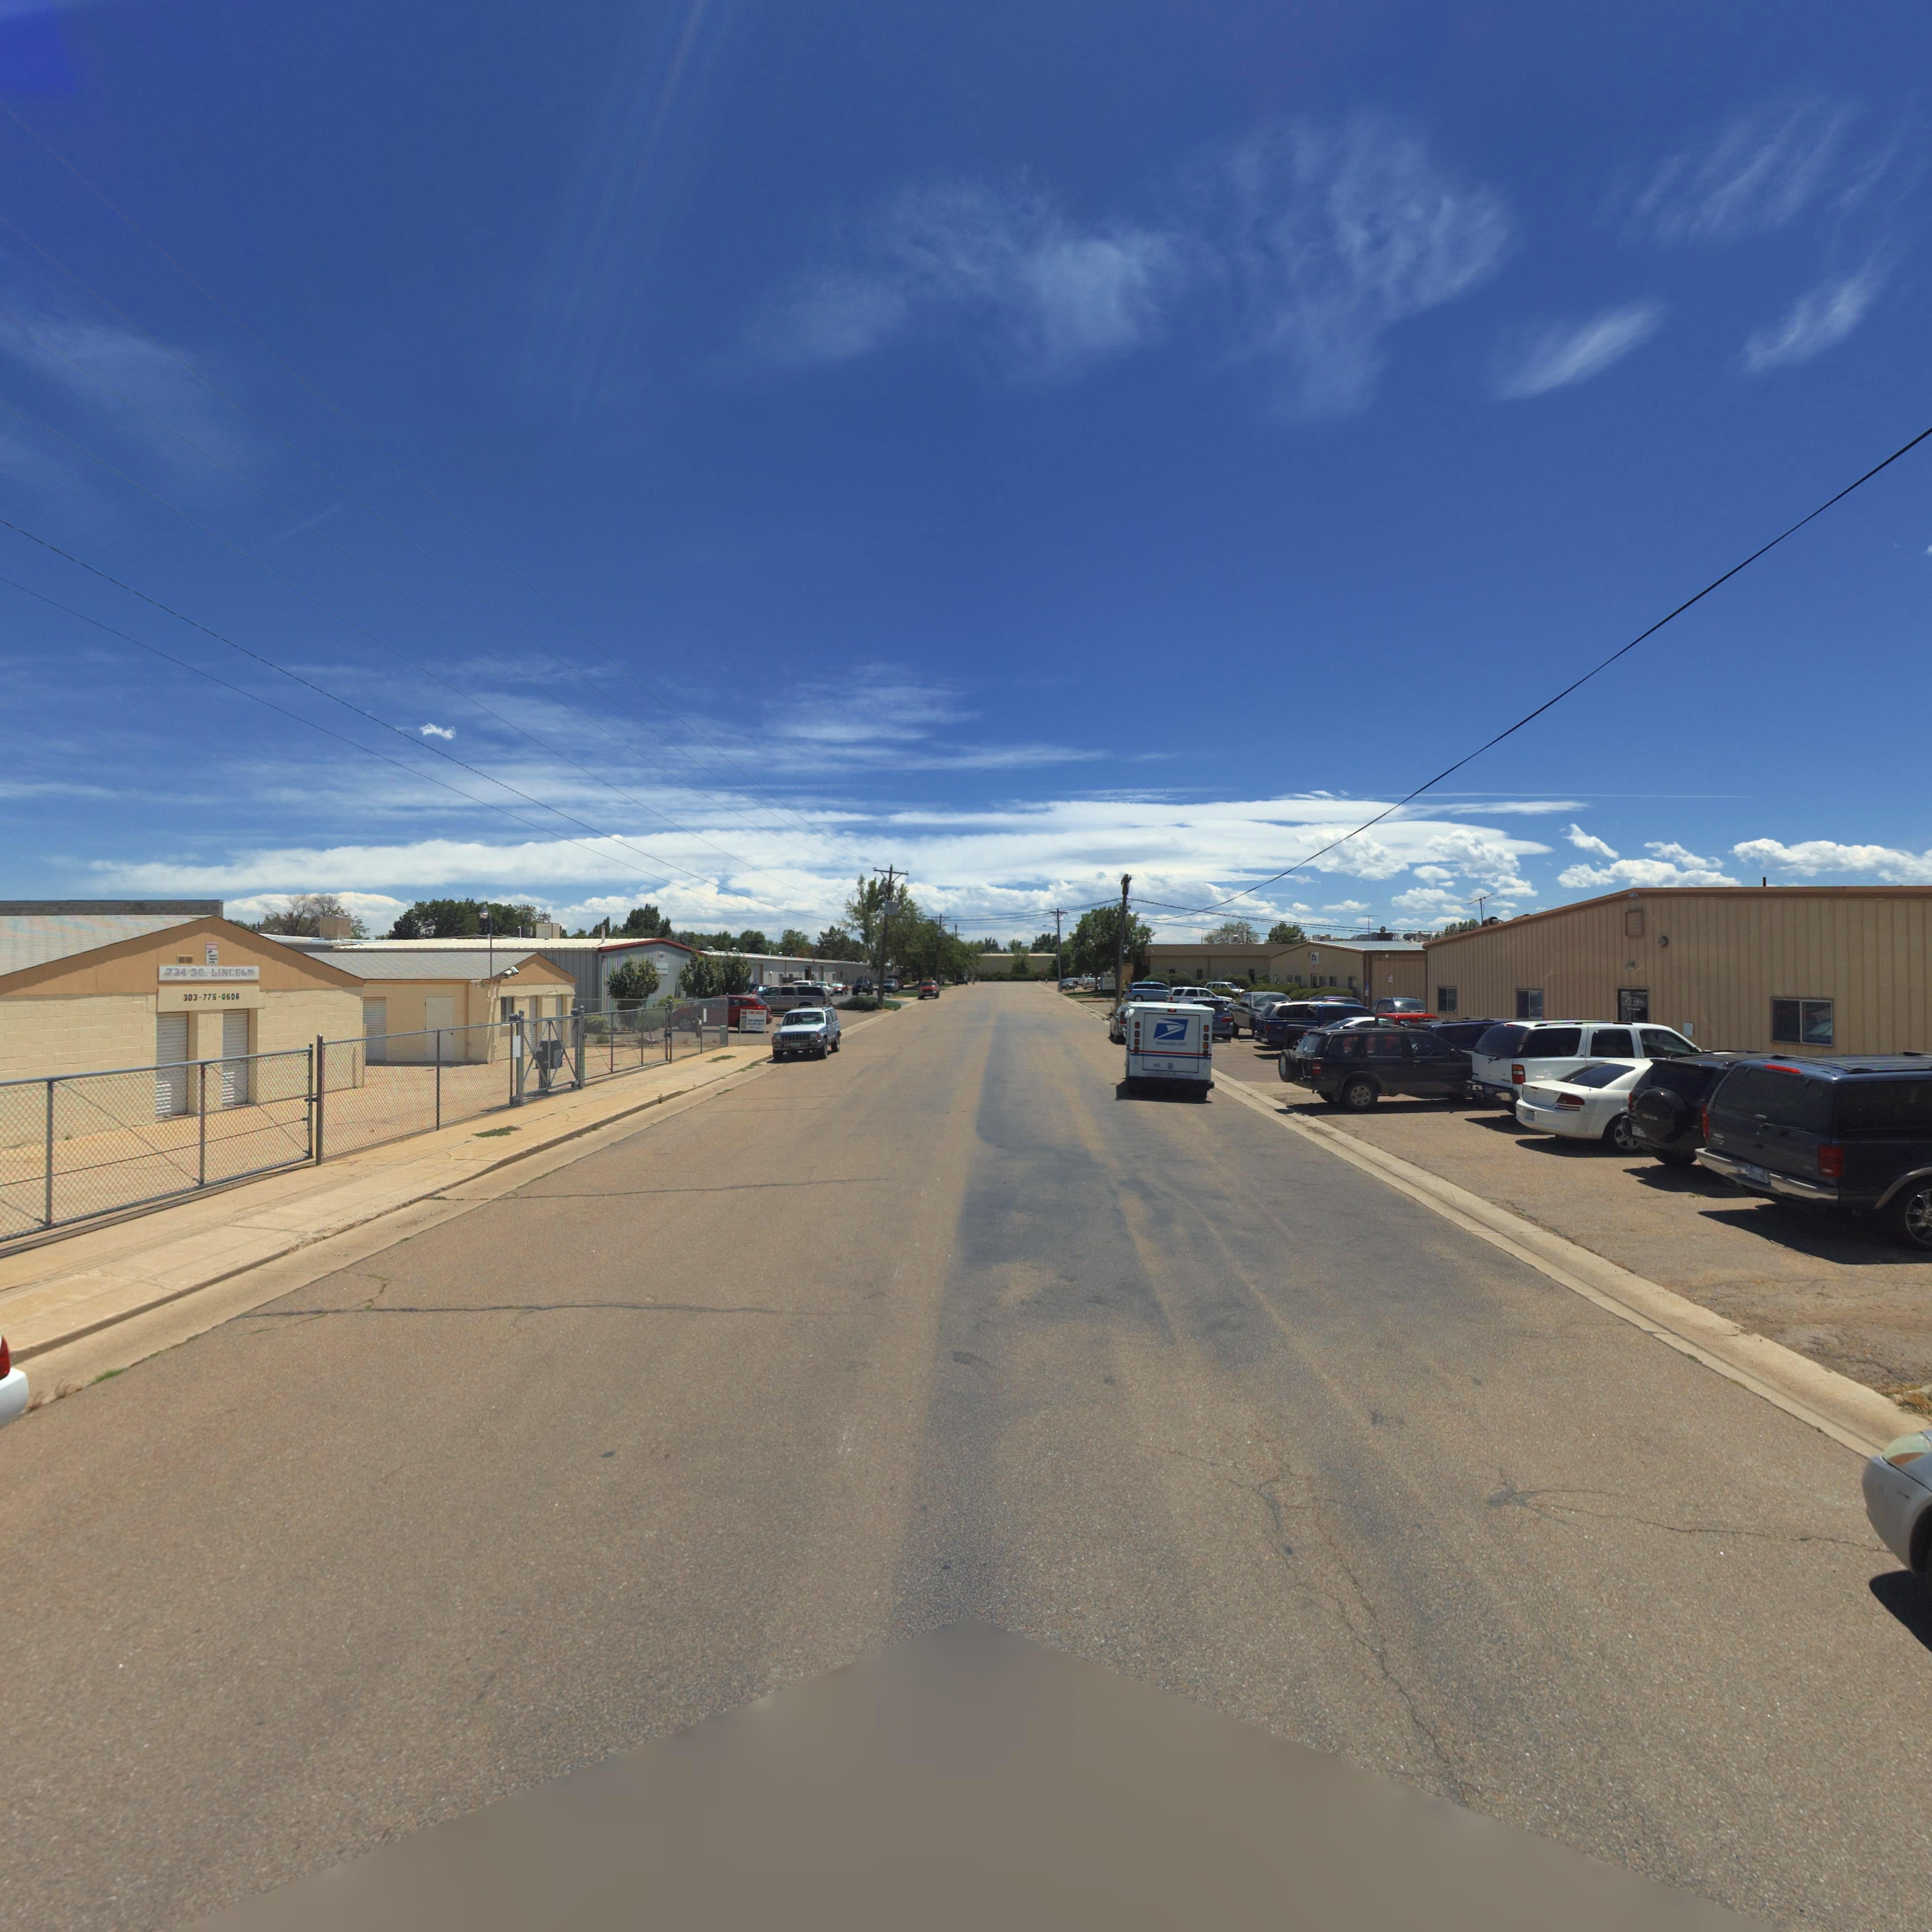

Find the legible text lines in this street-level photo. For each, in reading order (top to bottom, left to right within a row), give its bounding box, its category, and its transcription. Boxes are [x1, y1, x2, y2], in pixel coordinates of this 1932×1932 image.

[658, 953, 665, 958] BusinessName: H**E
[1311, 955, 1316, 960] BusinessName: *S
[165, 967, 187, 977] StreetNumber: 734
[190, 967, 253, 976] StreetName: SO. LINCOLN